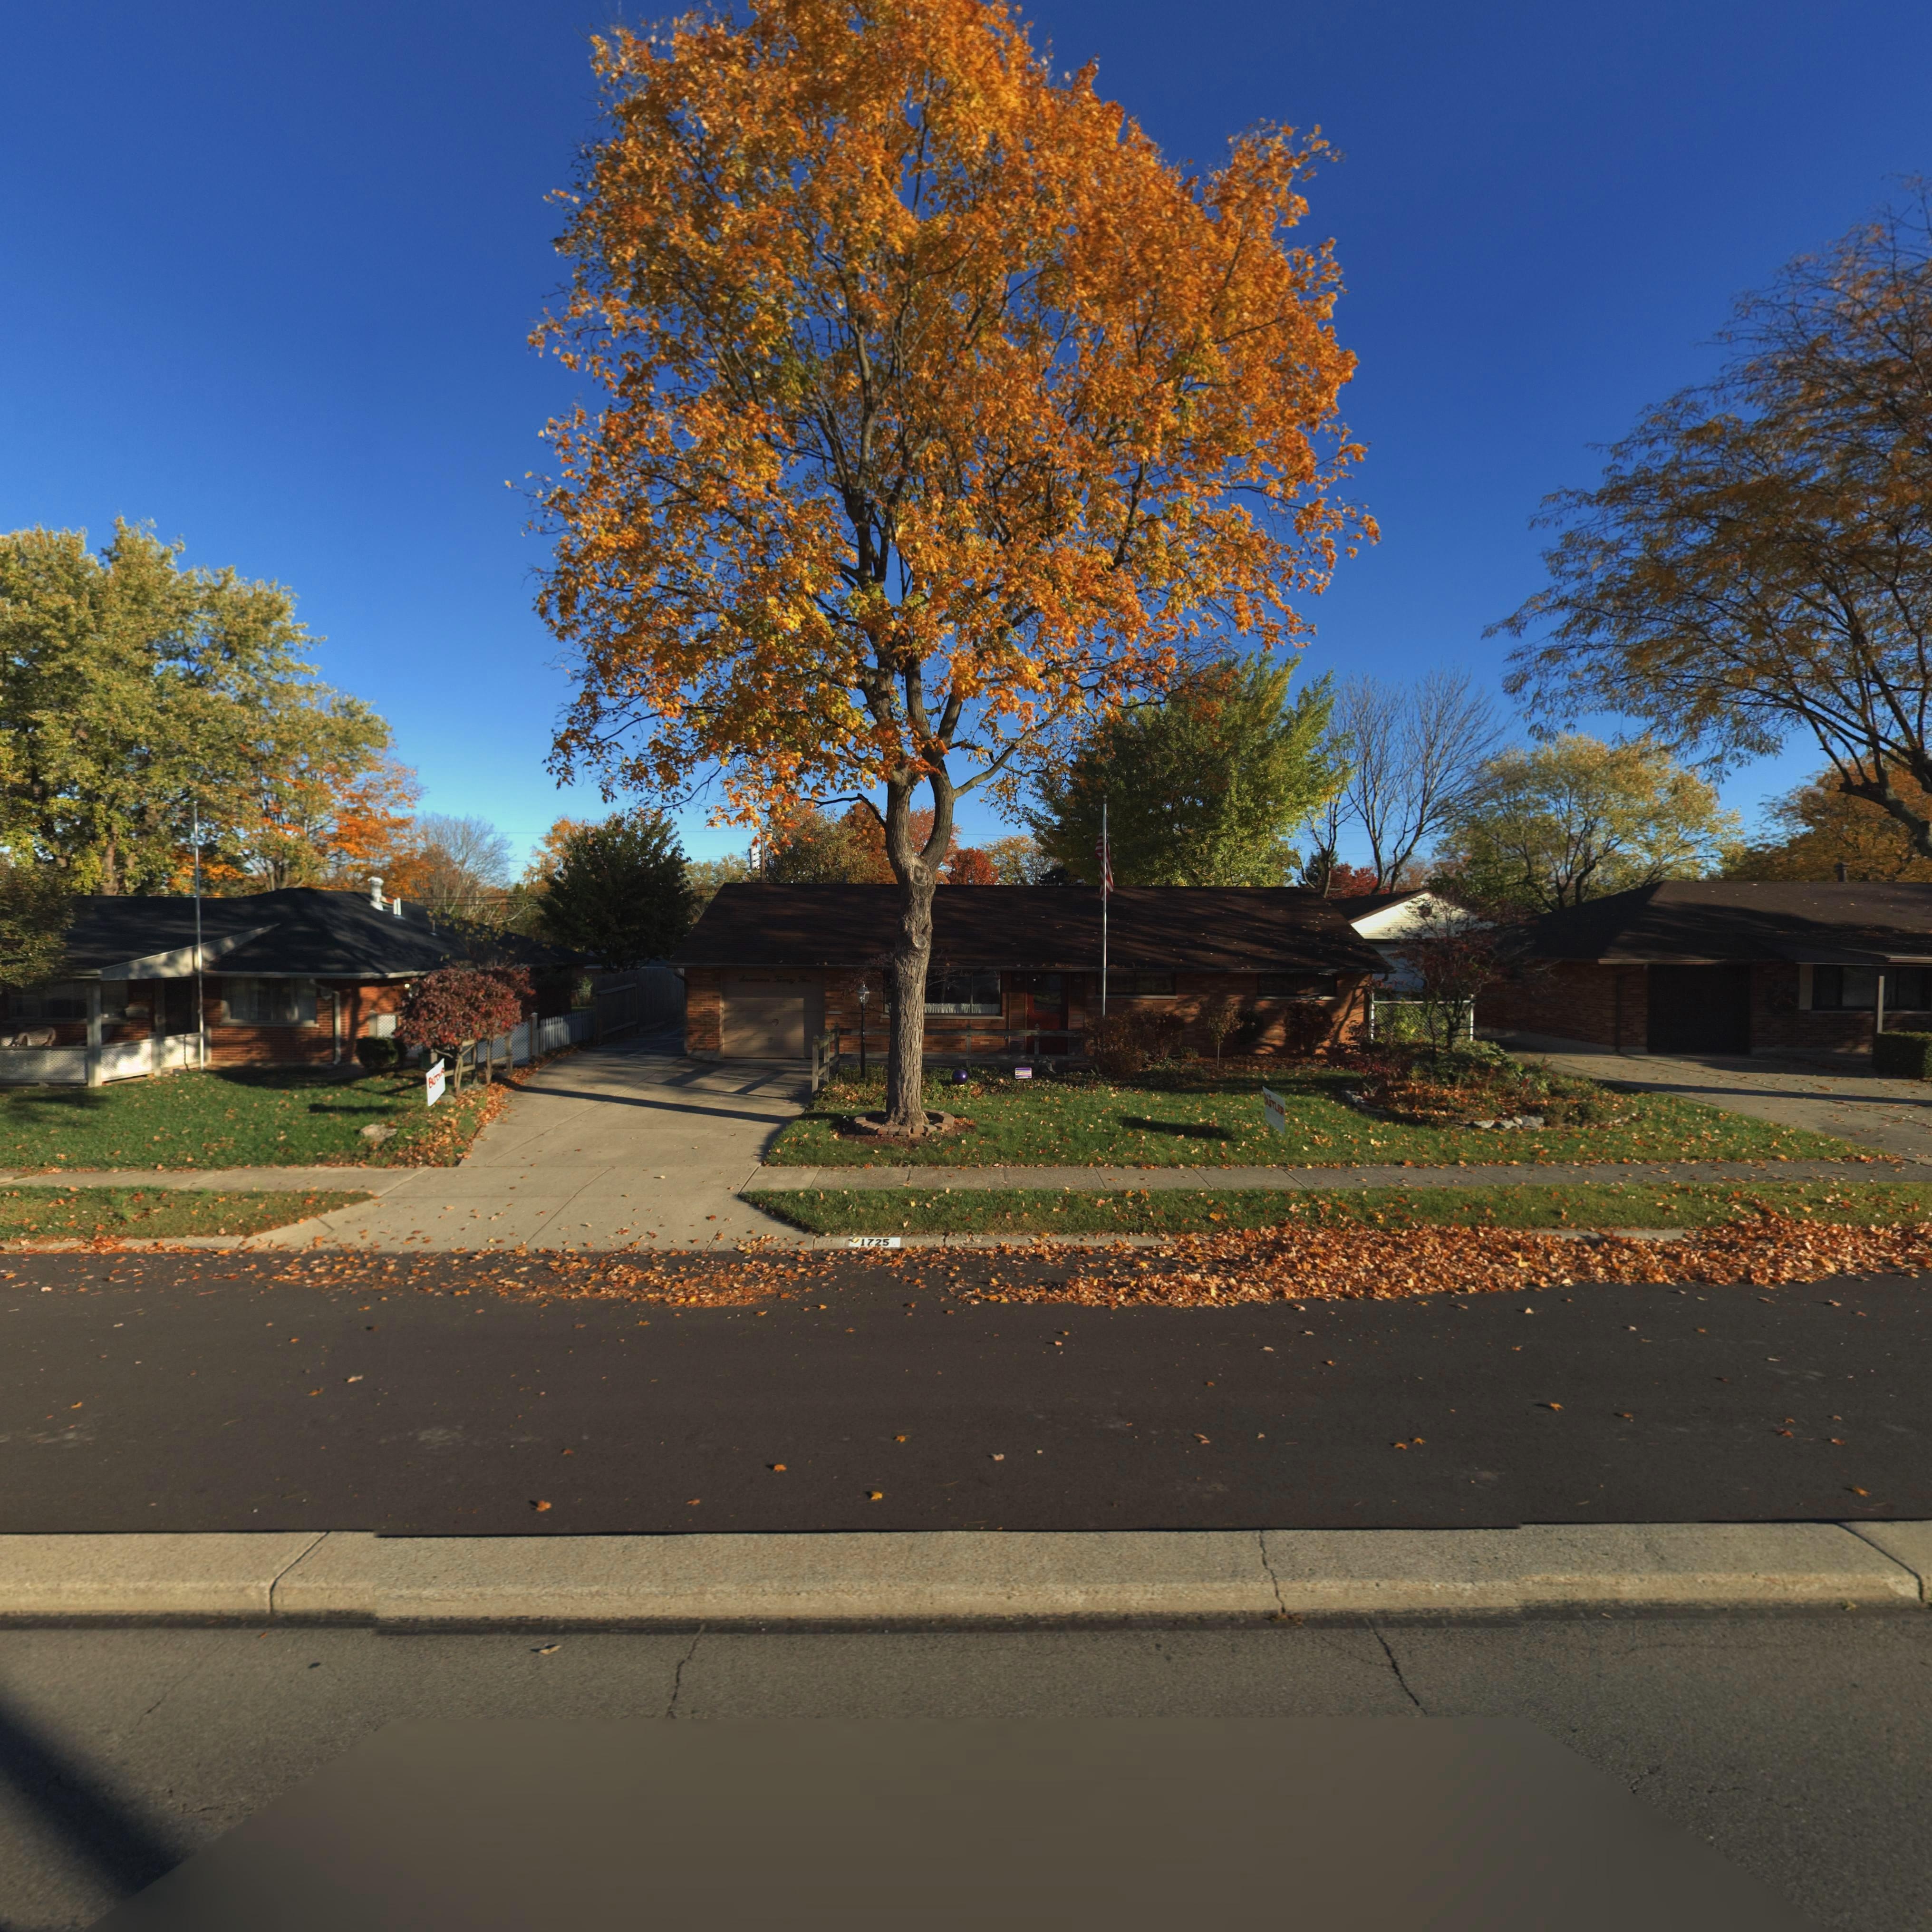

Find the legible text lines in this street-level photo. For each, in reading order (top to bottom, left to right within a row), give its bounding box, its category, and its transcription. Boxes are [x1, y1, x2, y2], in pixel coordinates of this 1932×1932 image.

[427, 1073, 440, 1090] None: BUT
[1266, 1097, 1284, 1118] None: UTLER
[860, 1237, 890, 1247] StreetNumber: 1725